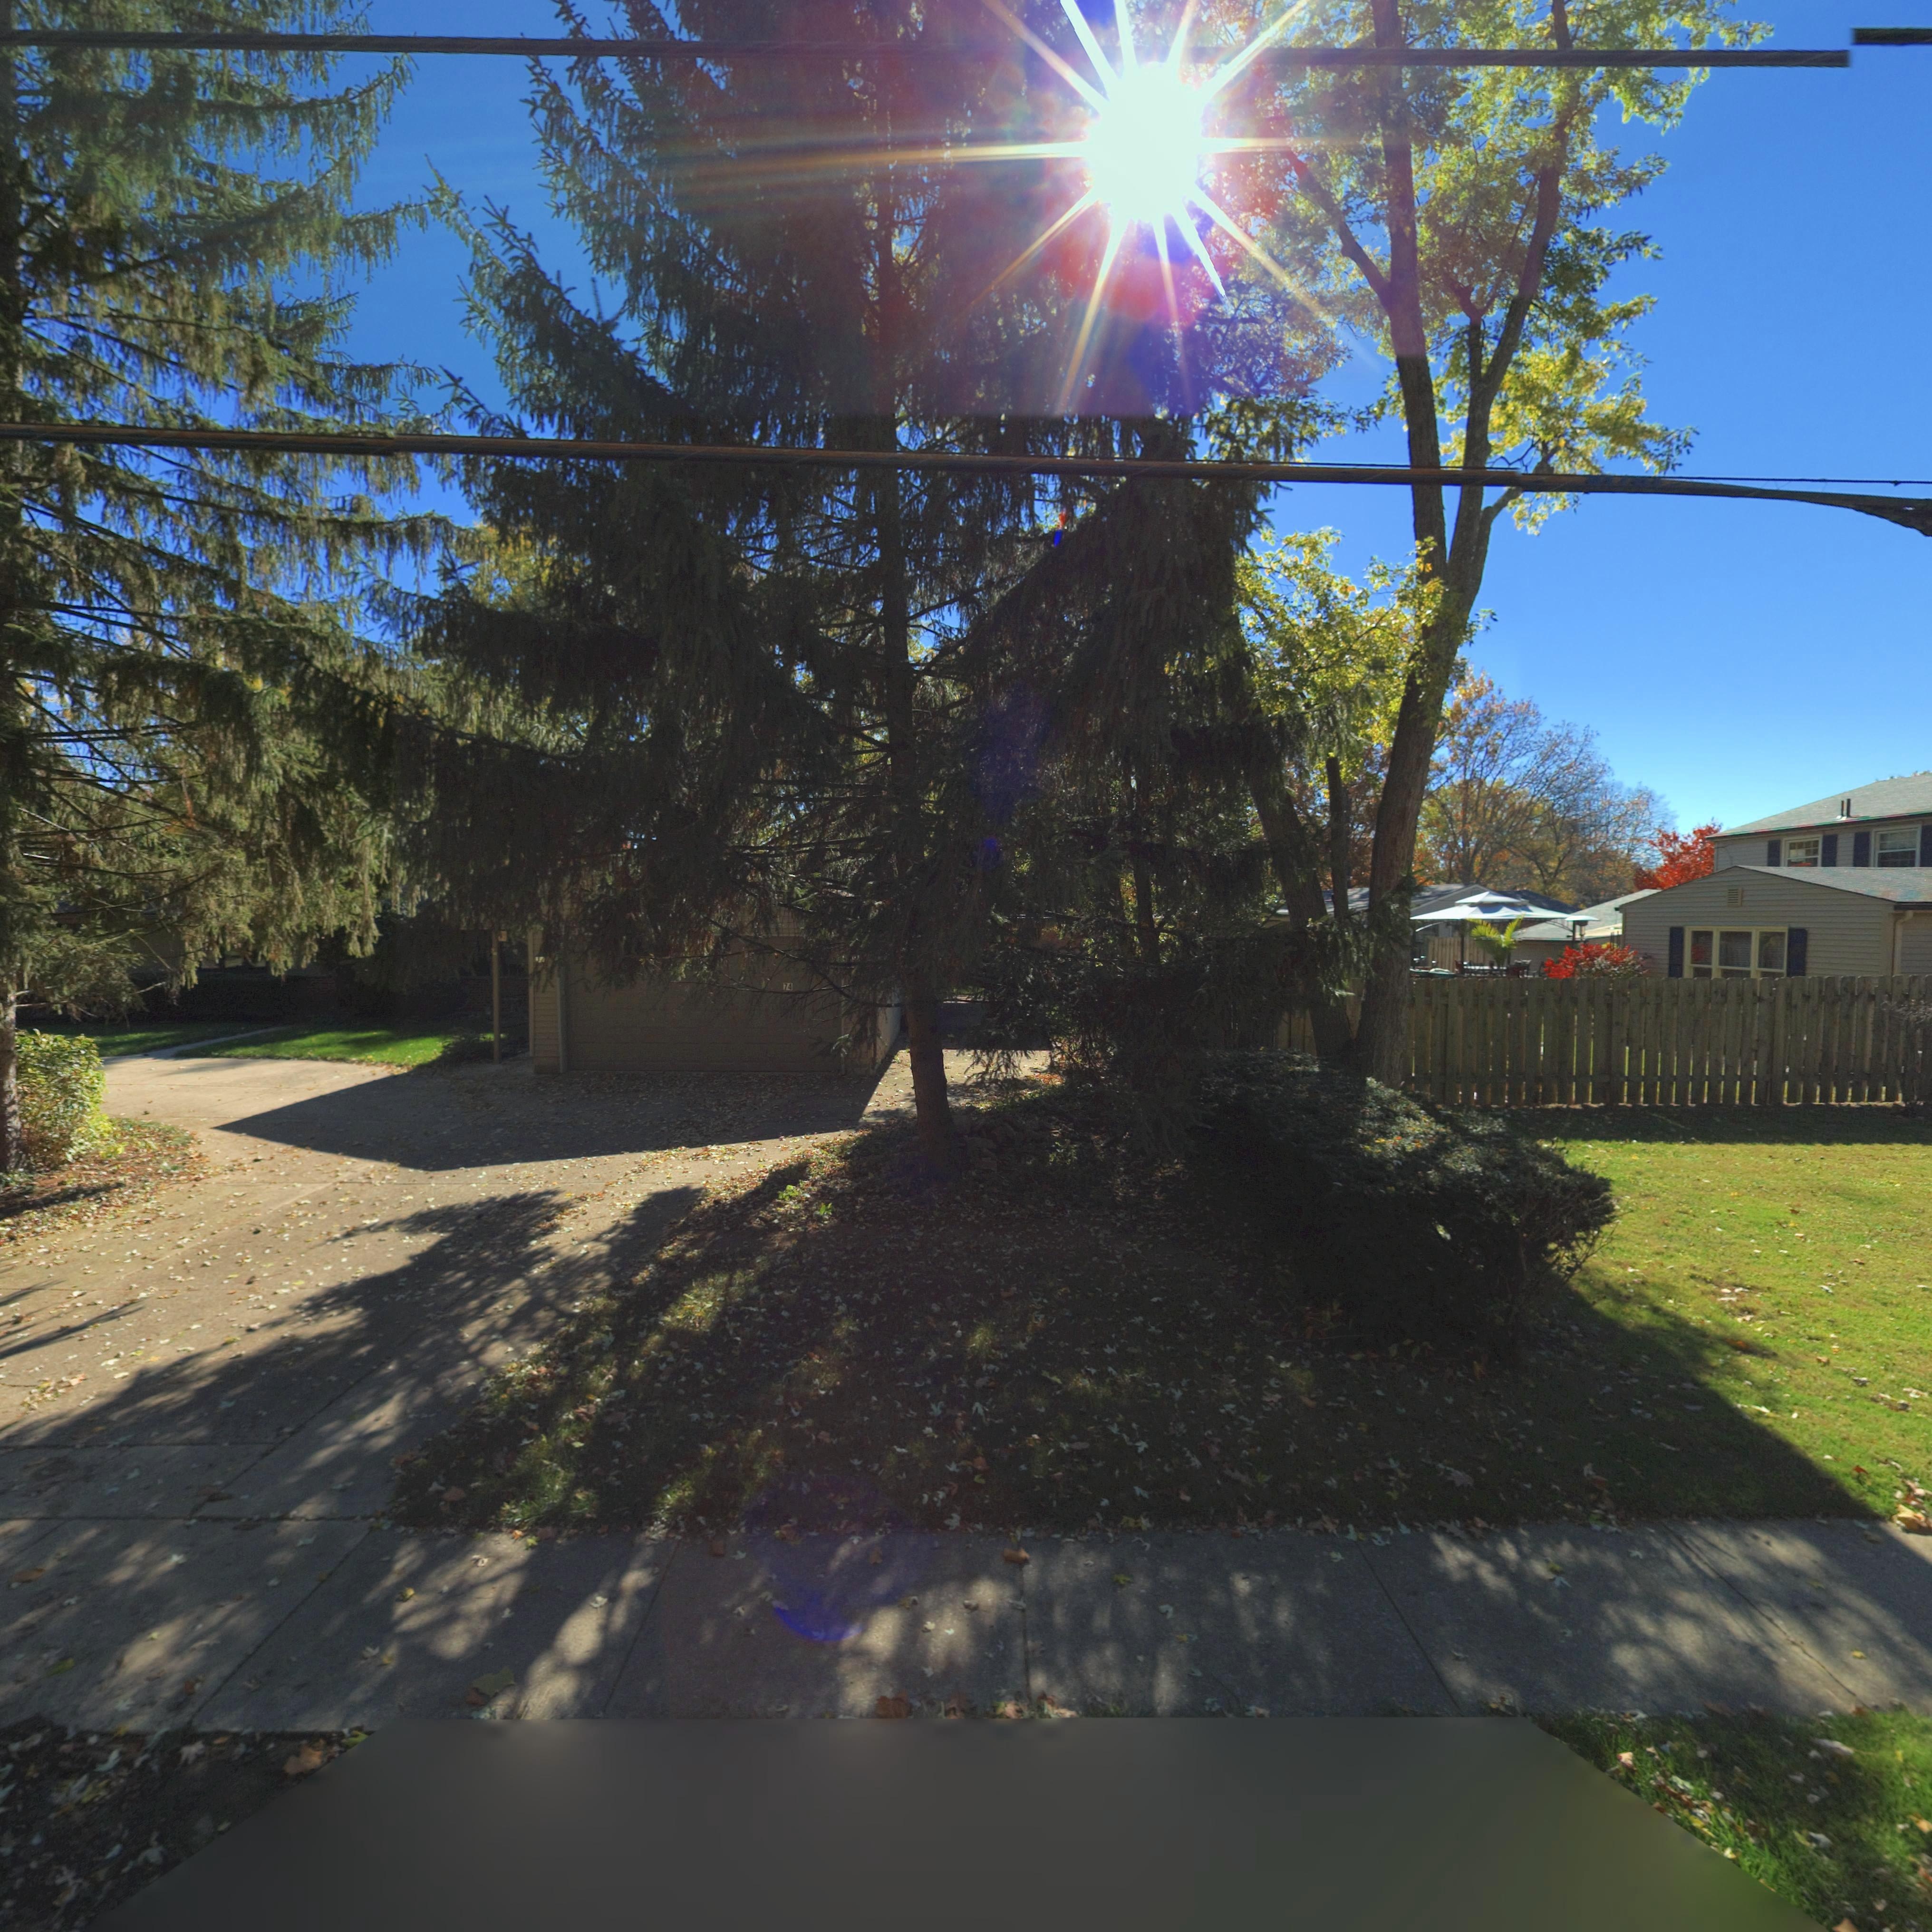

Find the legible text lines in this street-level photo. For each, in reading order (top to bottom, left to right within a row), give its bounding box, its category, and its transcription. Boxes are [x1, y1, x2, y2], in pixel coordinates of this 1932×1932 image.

[783, 983, 792, 990] StreetNumber: 74